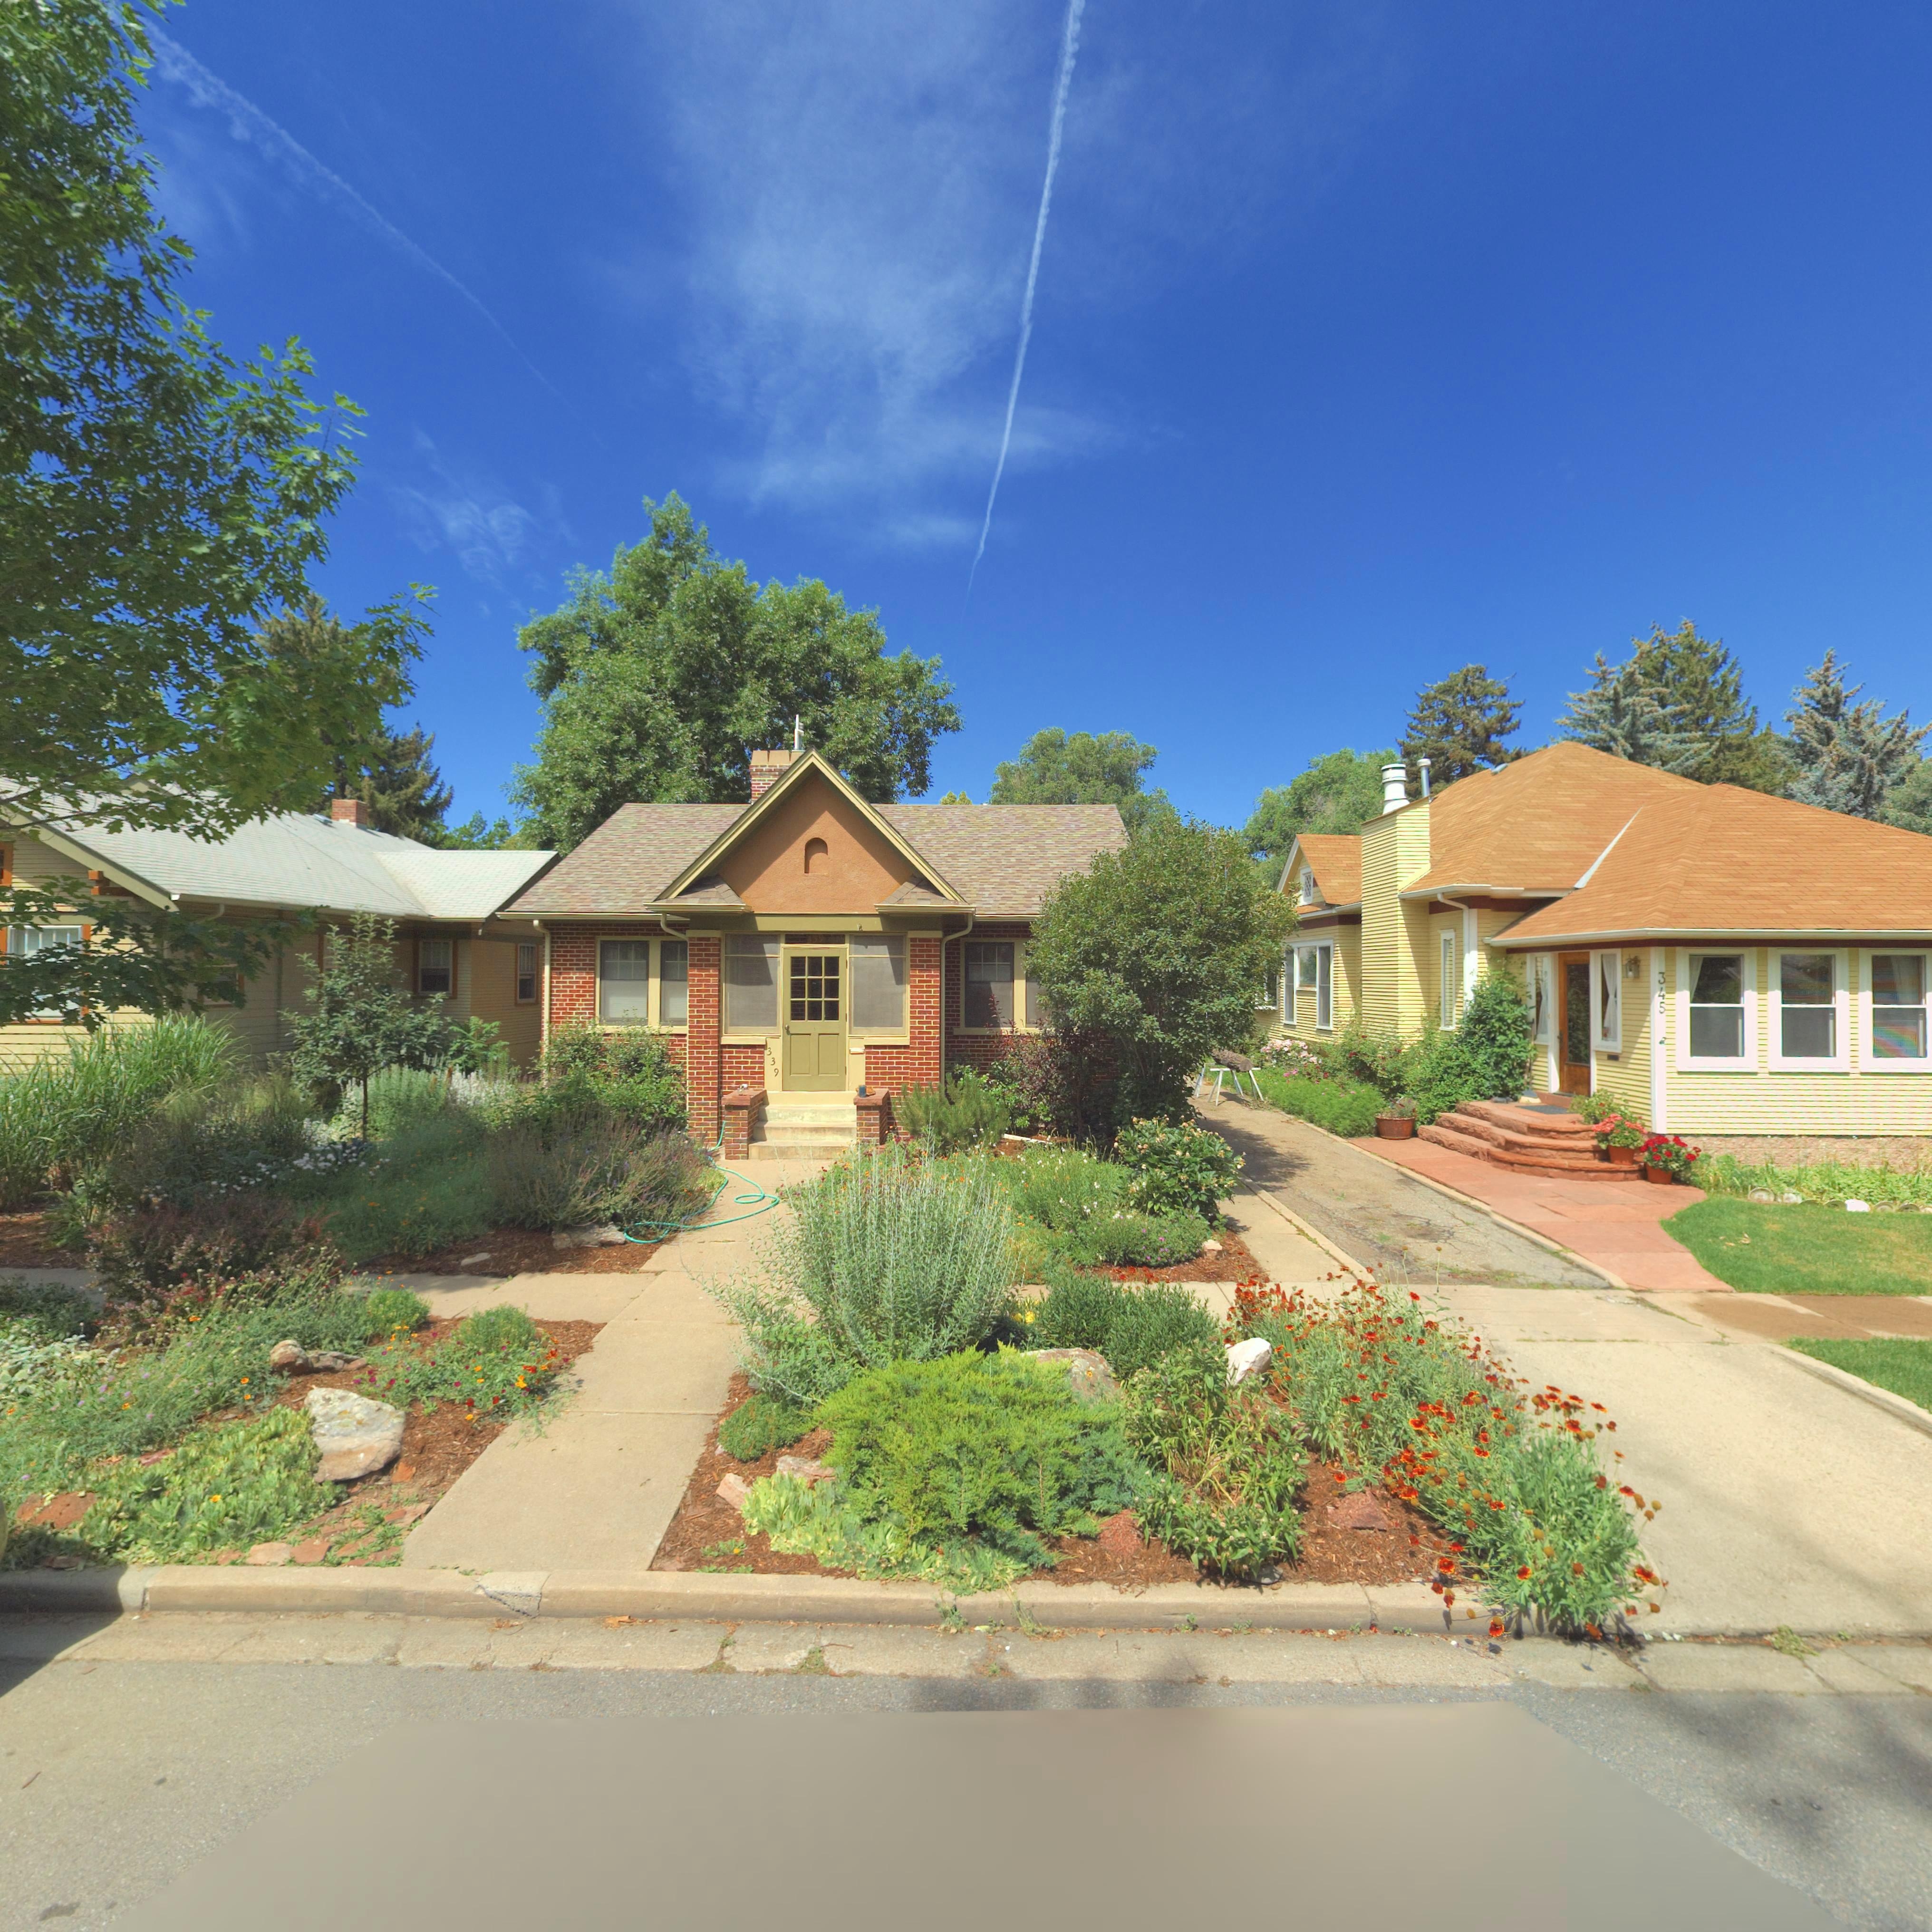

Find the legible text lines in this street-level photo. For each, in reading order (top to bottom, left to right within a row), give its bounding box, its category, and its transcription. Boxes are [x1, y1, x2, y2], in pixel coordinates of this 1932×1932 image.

[1657, 972, 1666, 1014] StreetNumber: 345
[766, 1047, 779, 1077] StreetNumber: 339